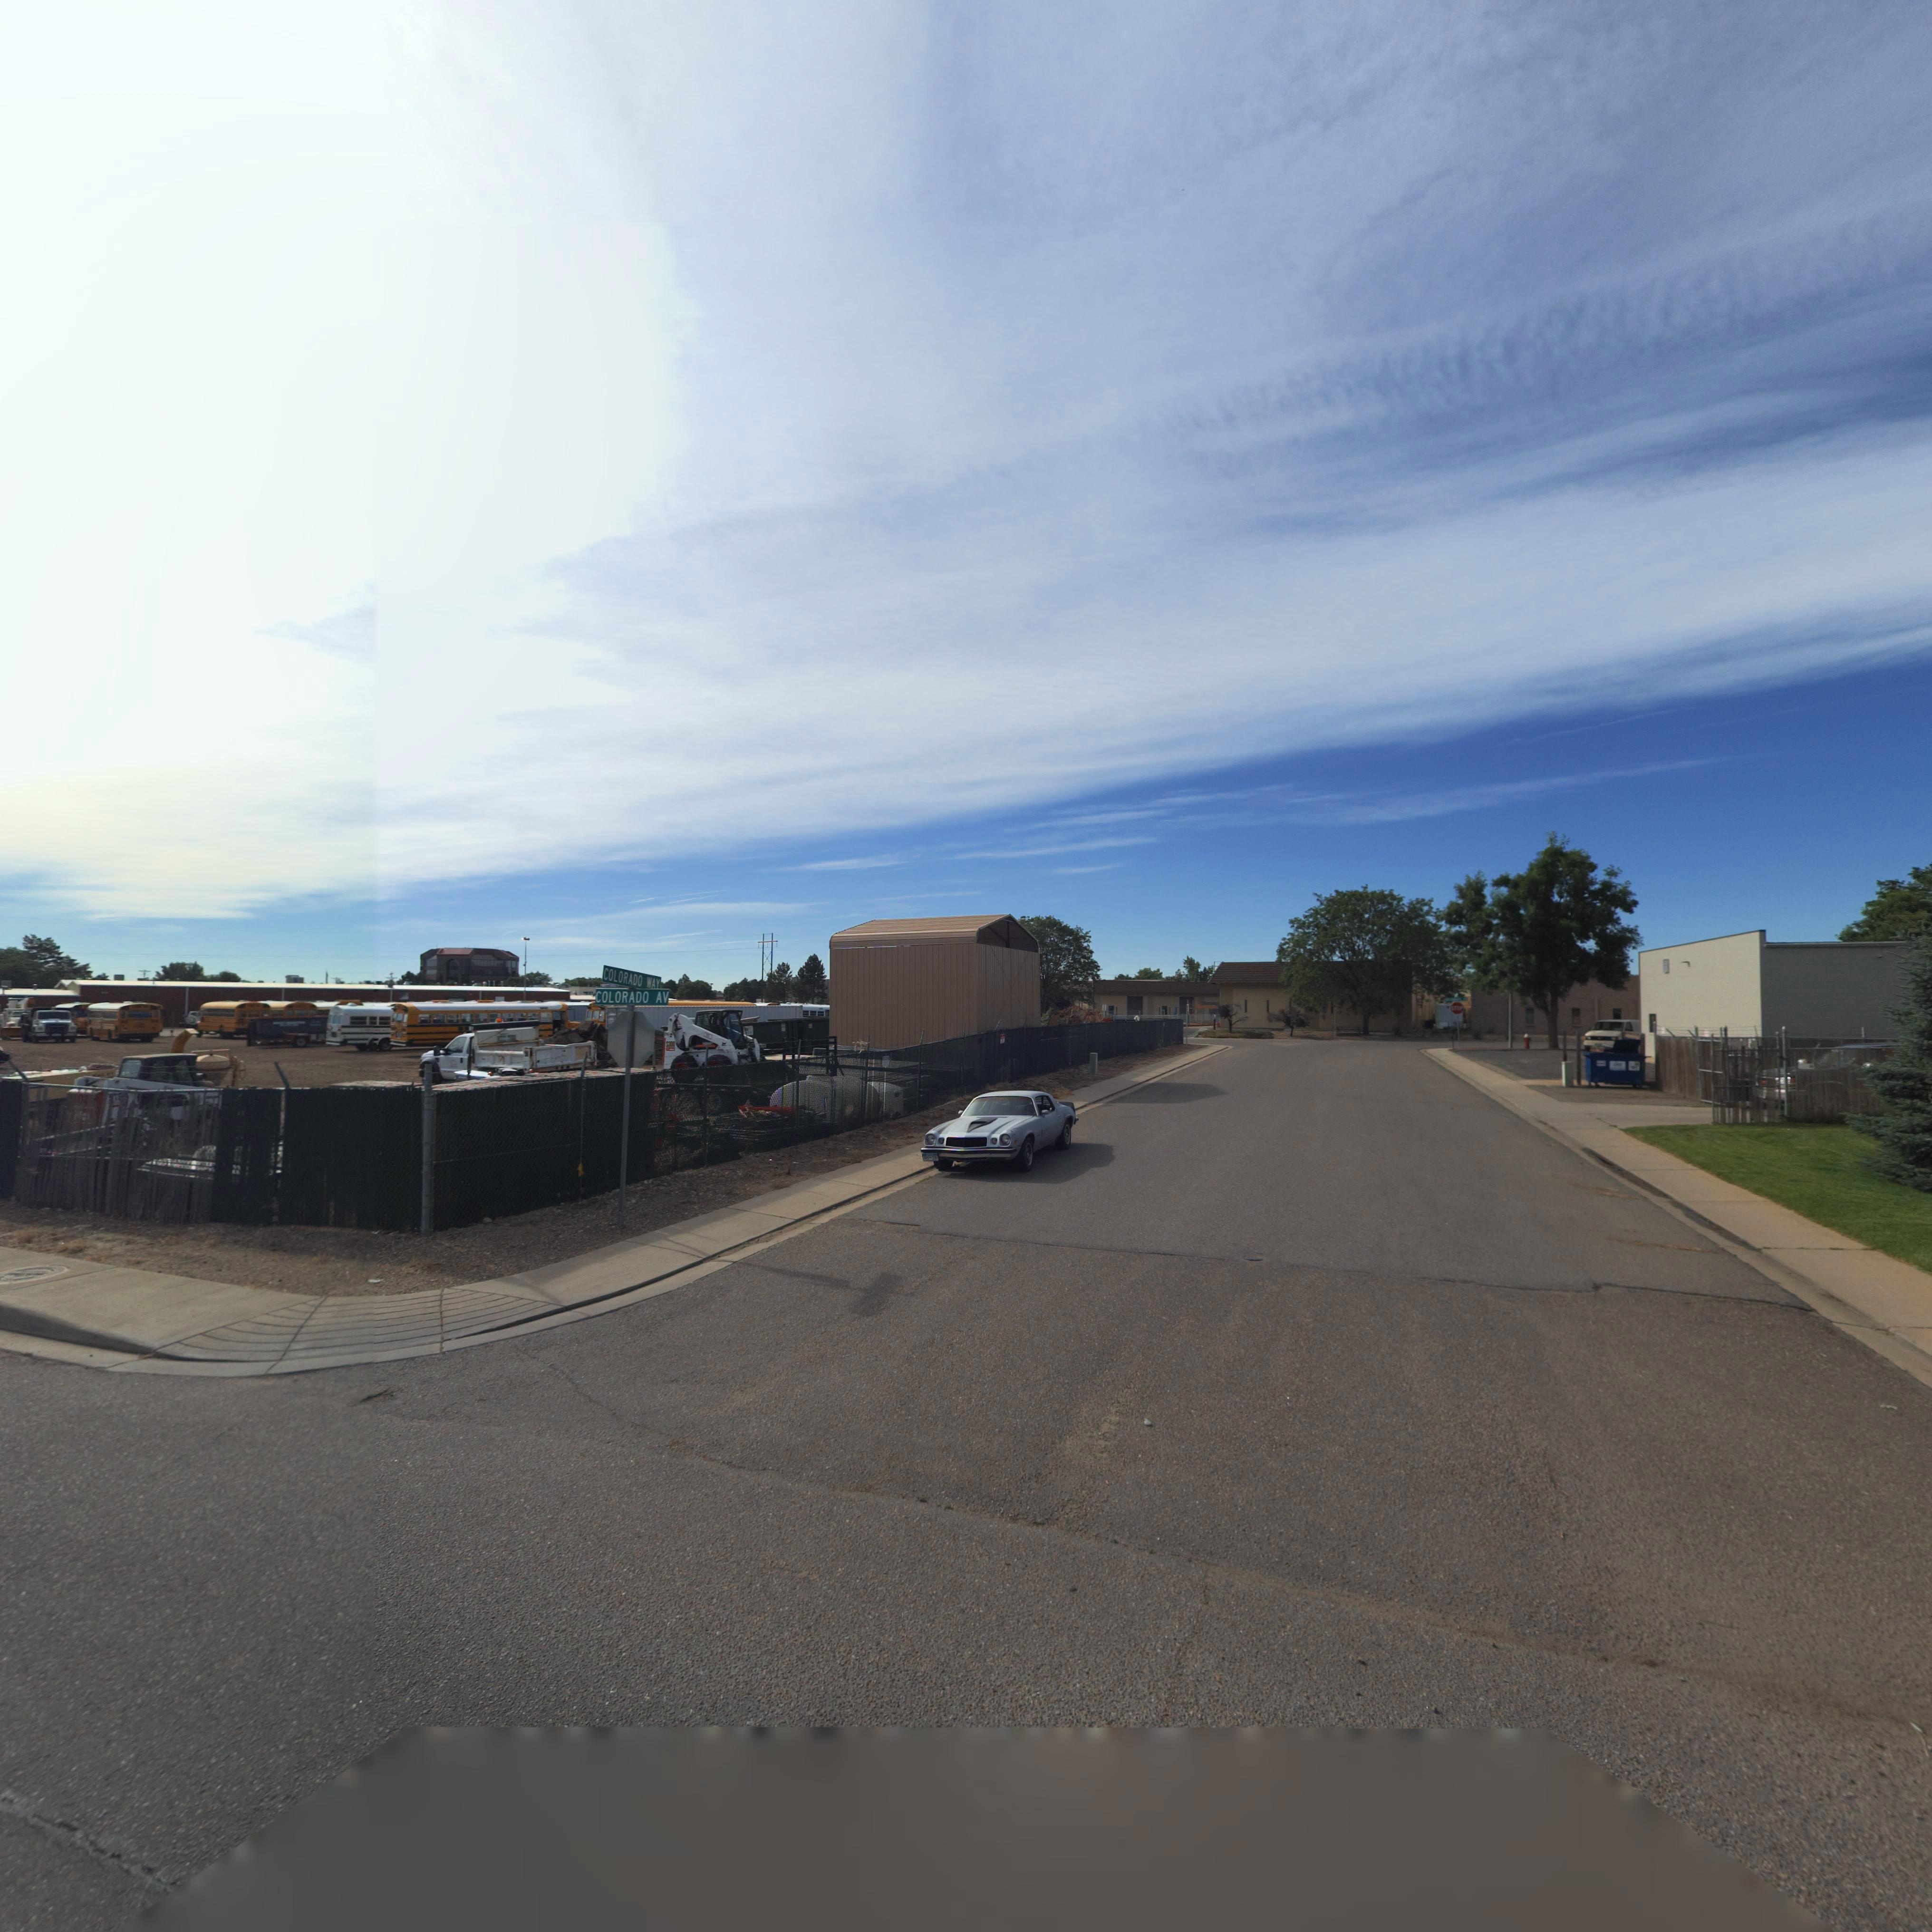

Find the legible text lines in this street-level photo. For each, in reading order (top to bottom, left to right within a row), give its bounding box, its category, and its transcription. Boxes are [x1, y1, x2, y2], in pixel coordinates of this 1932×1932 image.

[602, 966, 661, 989] StreetName: COLORADO WAY
[595, 990, 670, 1004] StreetName: COLORADO AV